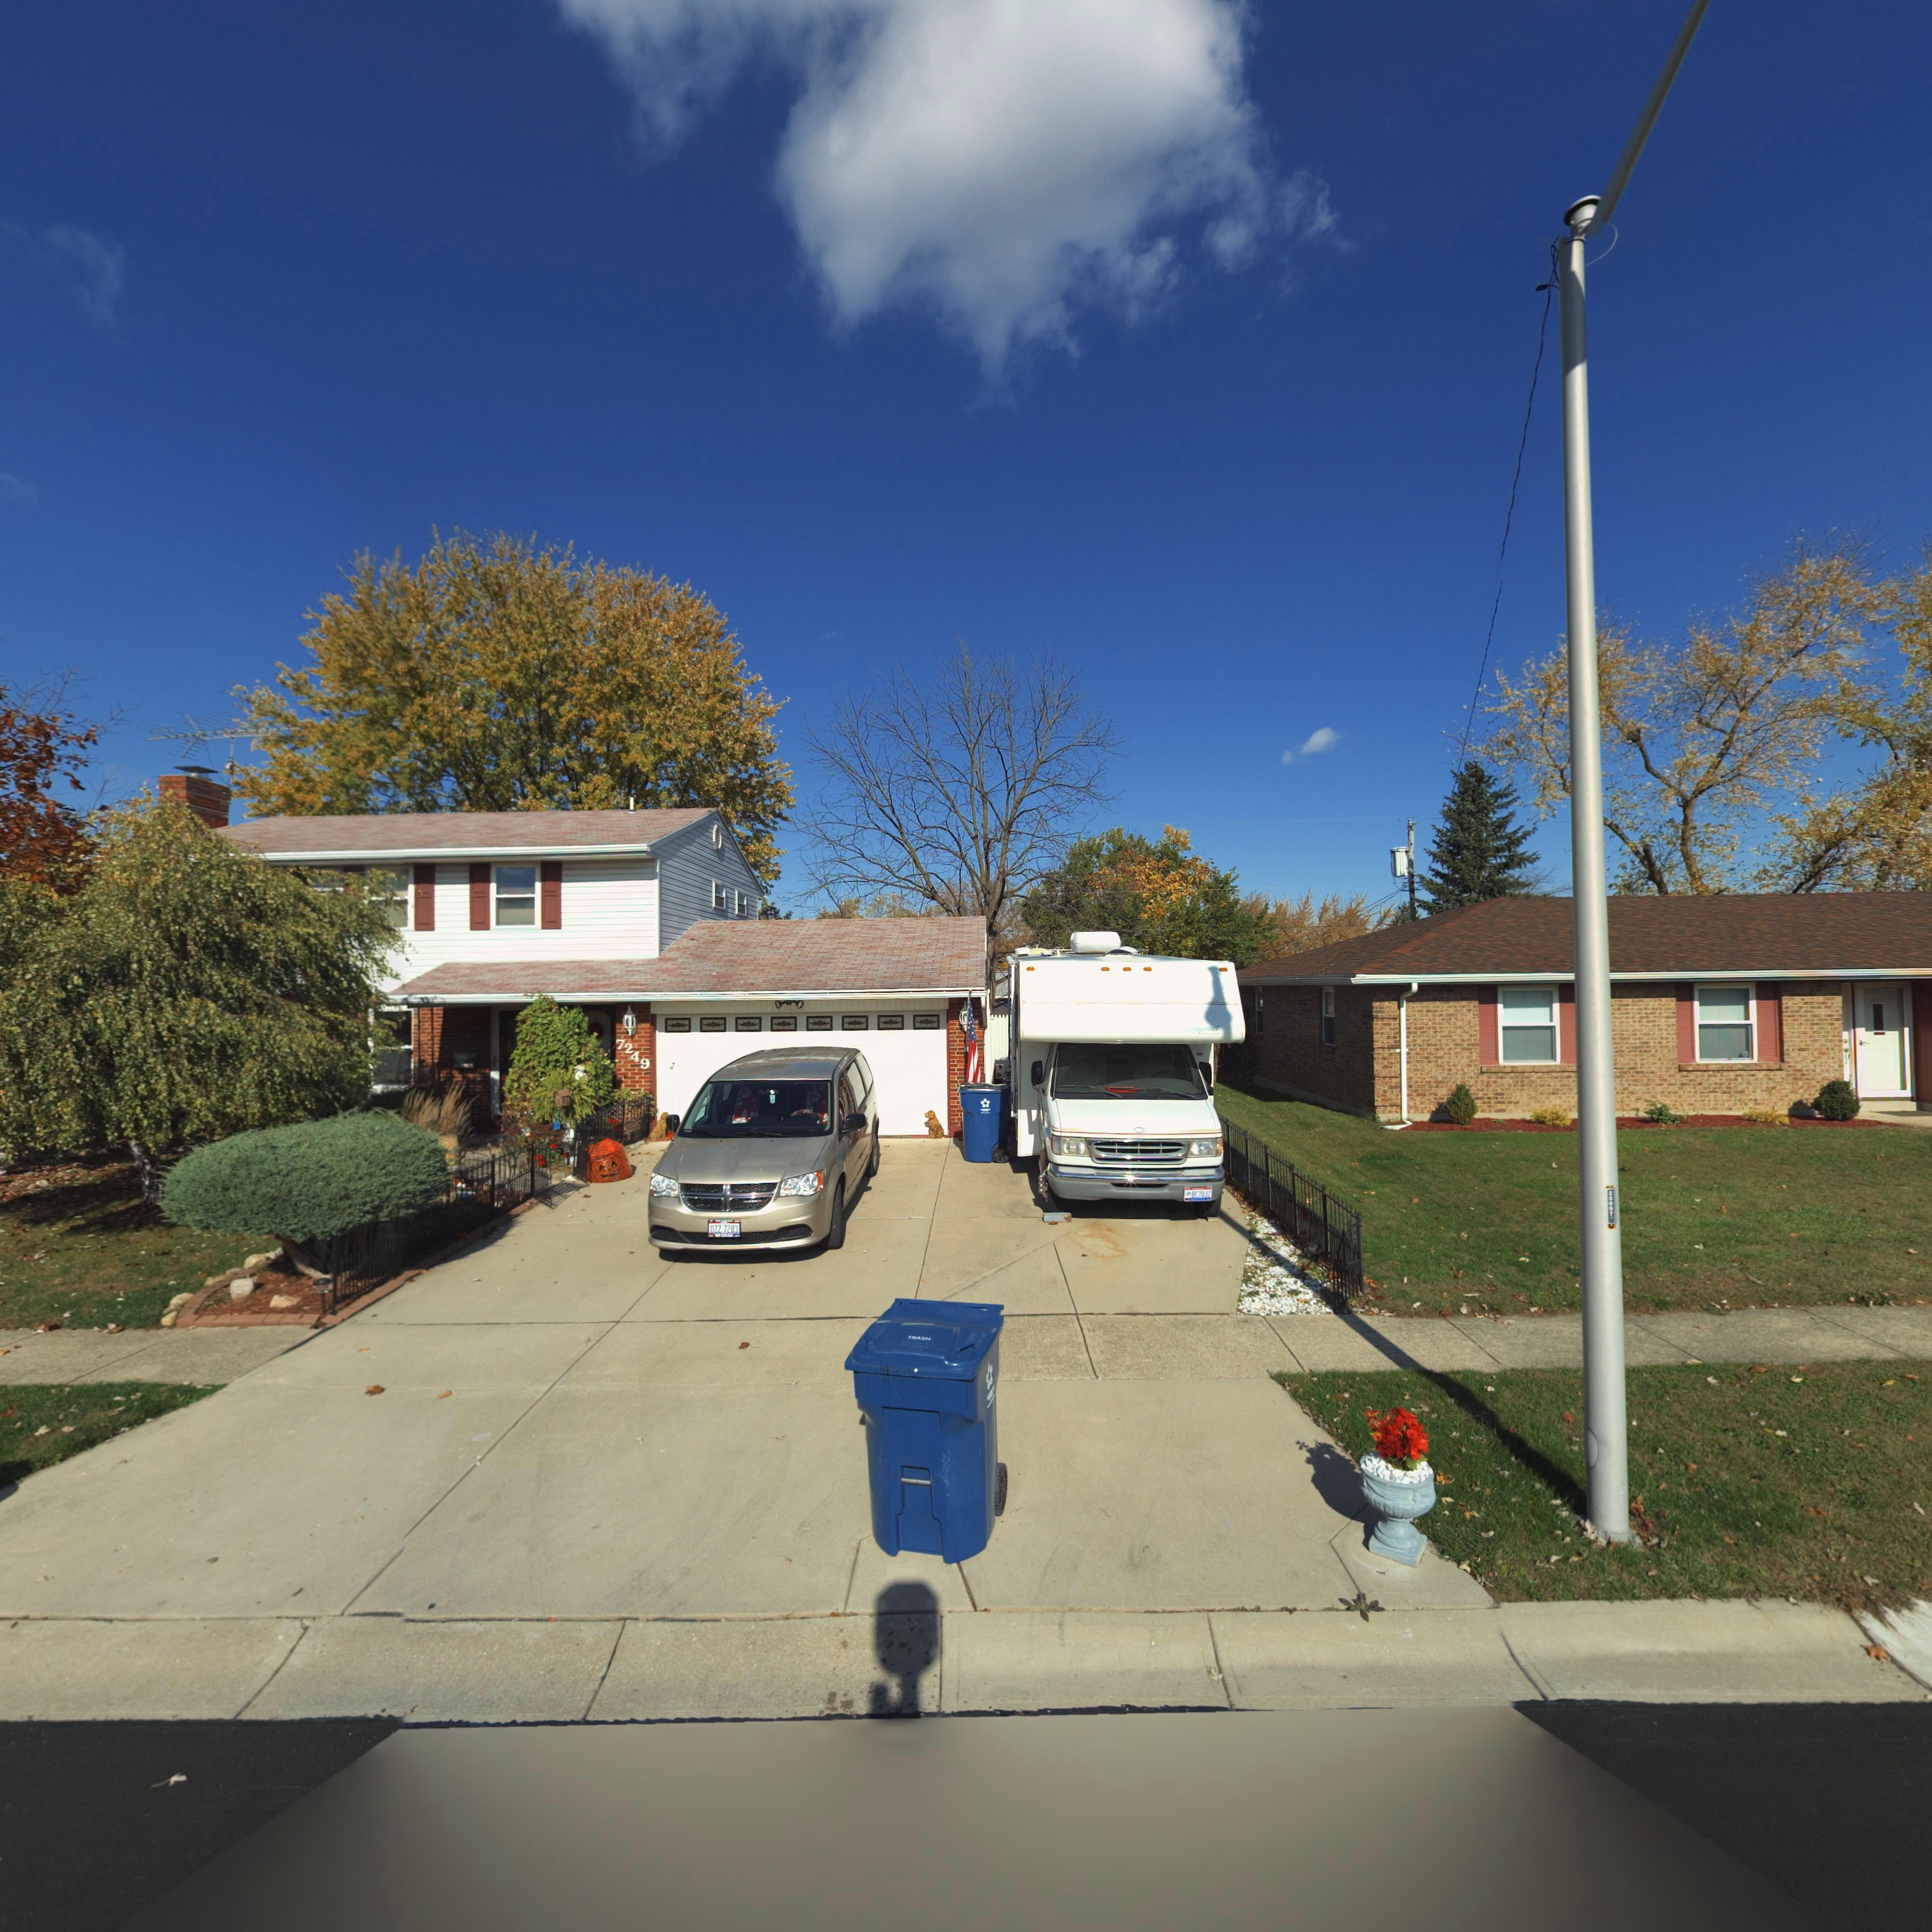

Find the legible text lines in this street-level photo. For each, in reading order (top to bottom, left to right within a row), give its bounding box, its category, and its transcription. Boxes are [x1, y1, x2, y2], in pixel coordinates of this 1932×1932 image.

[615, 1038, 651, 1071] StreetNumber: 7249